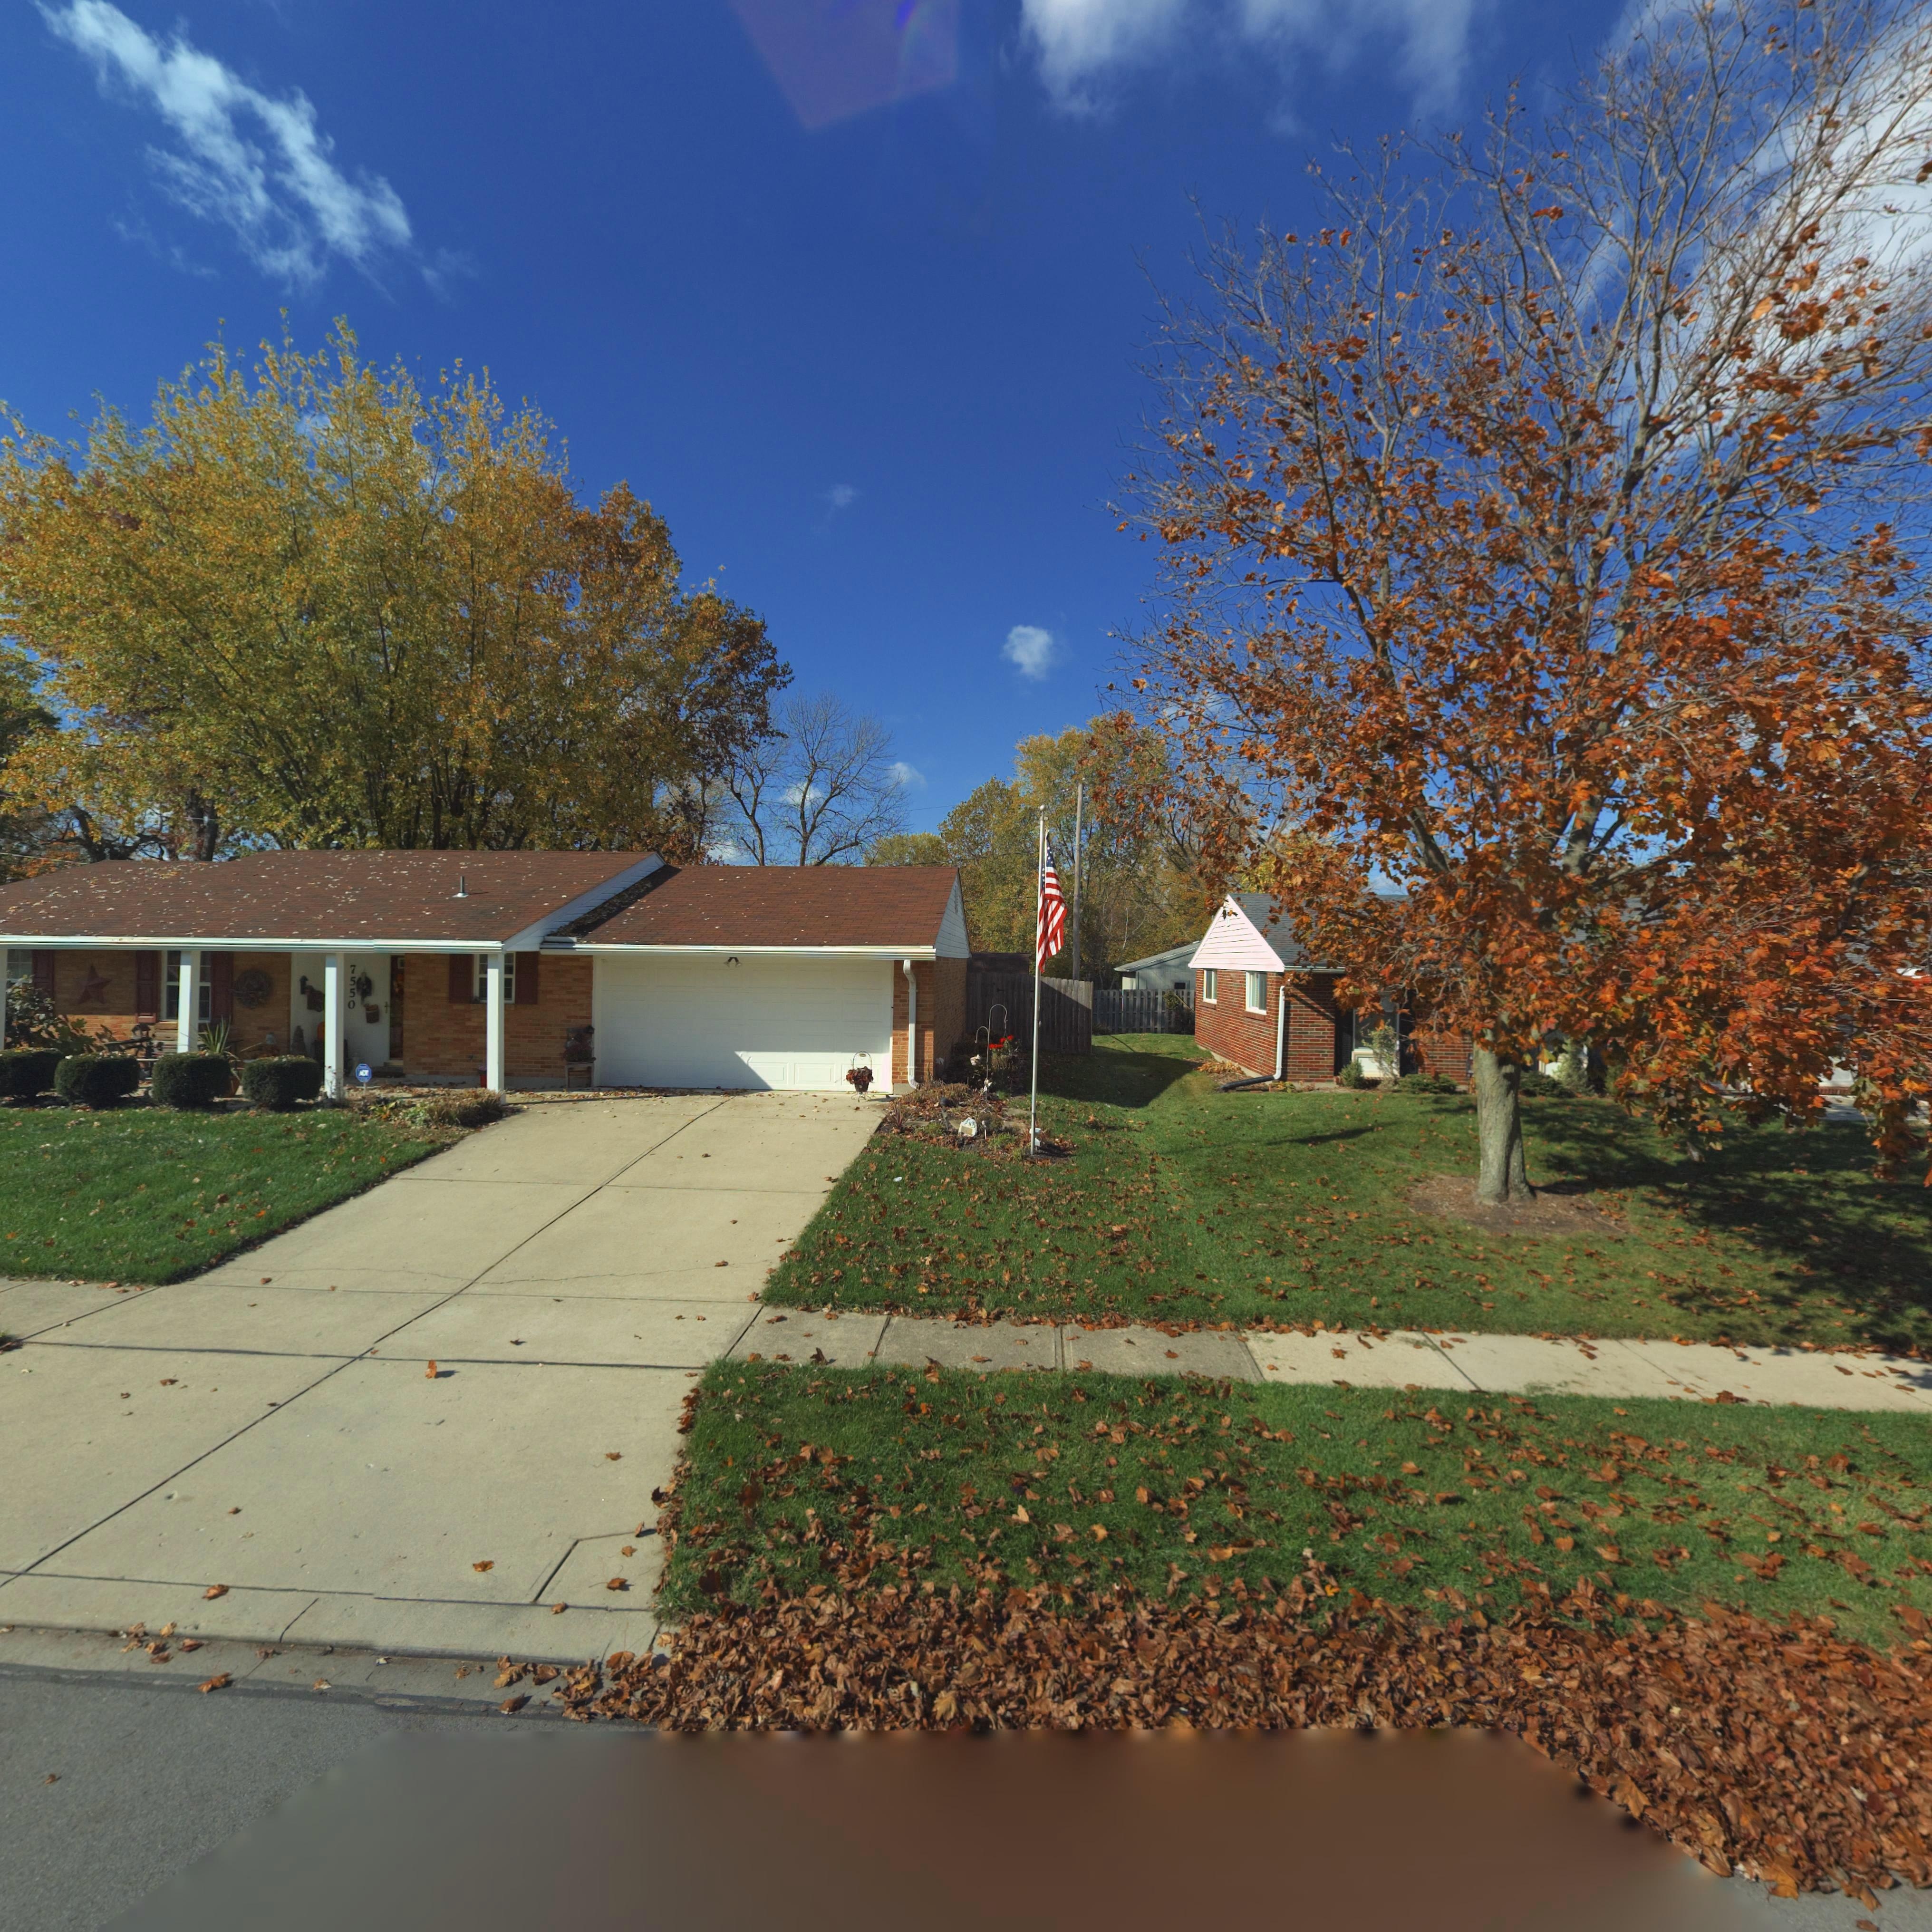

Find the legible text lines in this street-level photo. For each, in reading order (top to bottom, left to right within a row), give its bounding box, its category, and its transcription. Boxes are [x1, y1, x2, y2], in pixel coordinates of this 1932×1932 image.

[346, 963, 357, 1011] StreetNumber: 7550